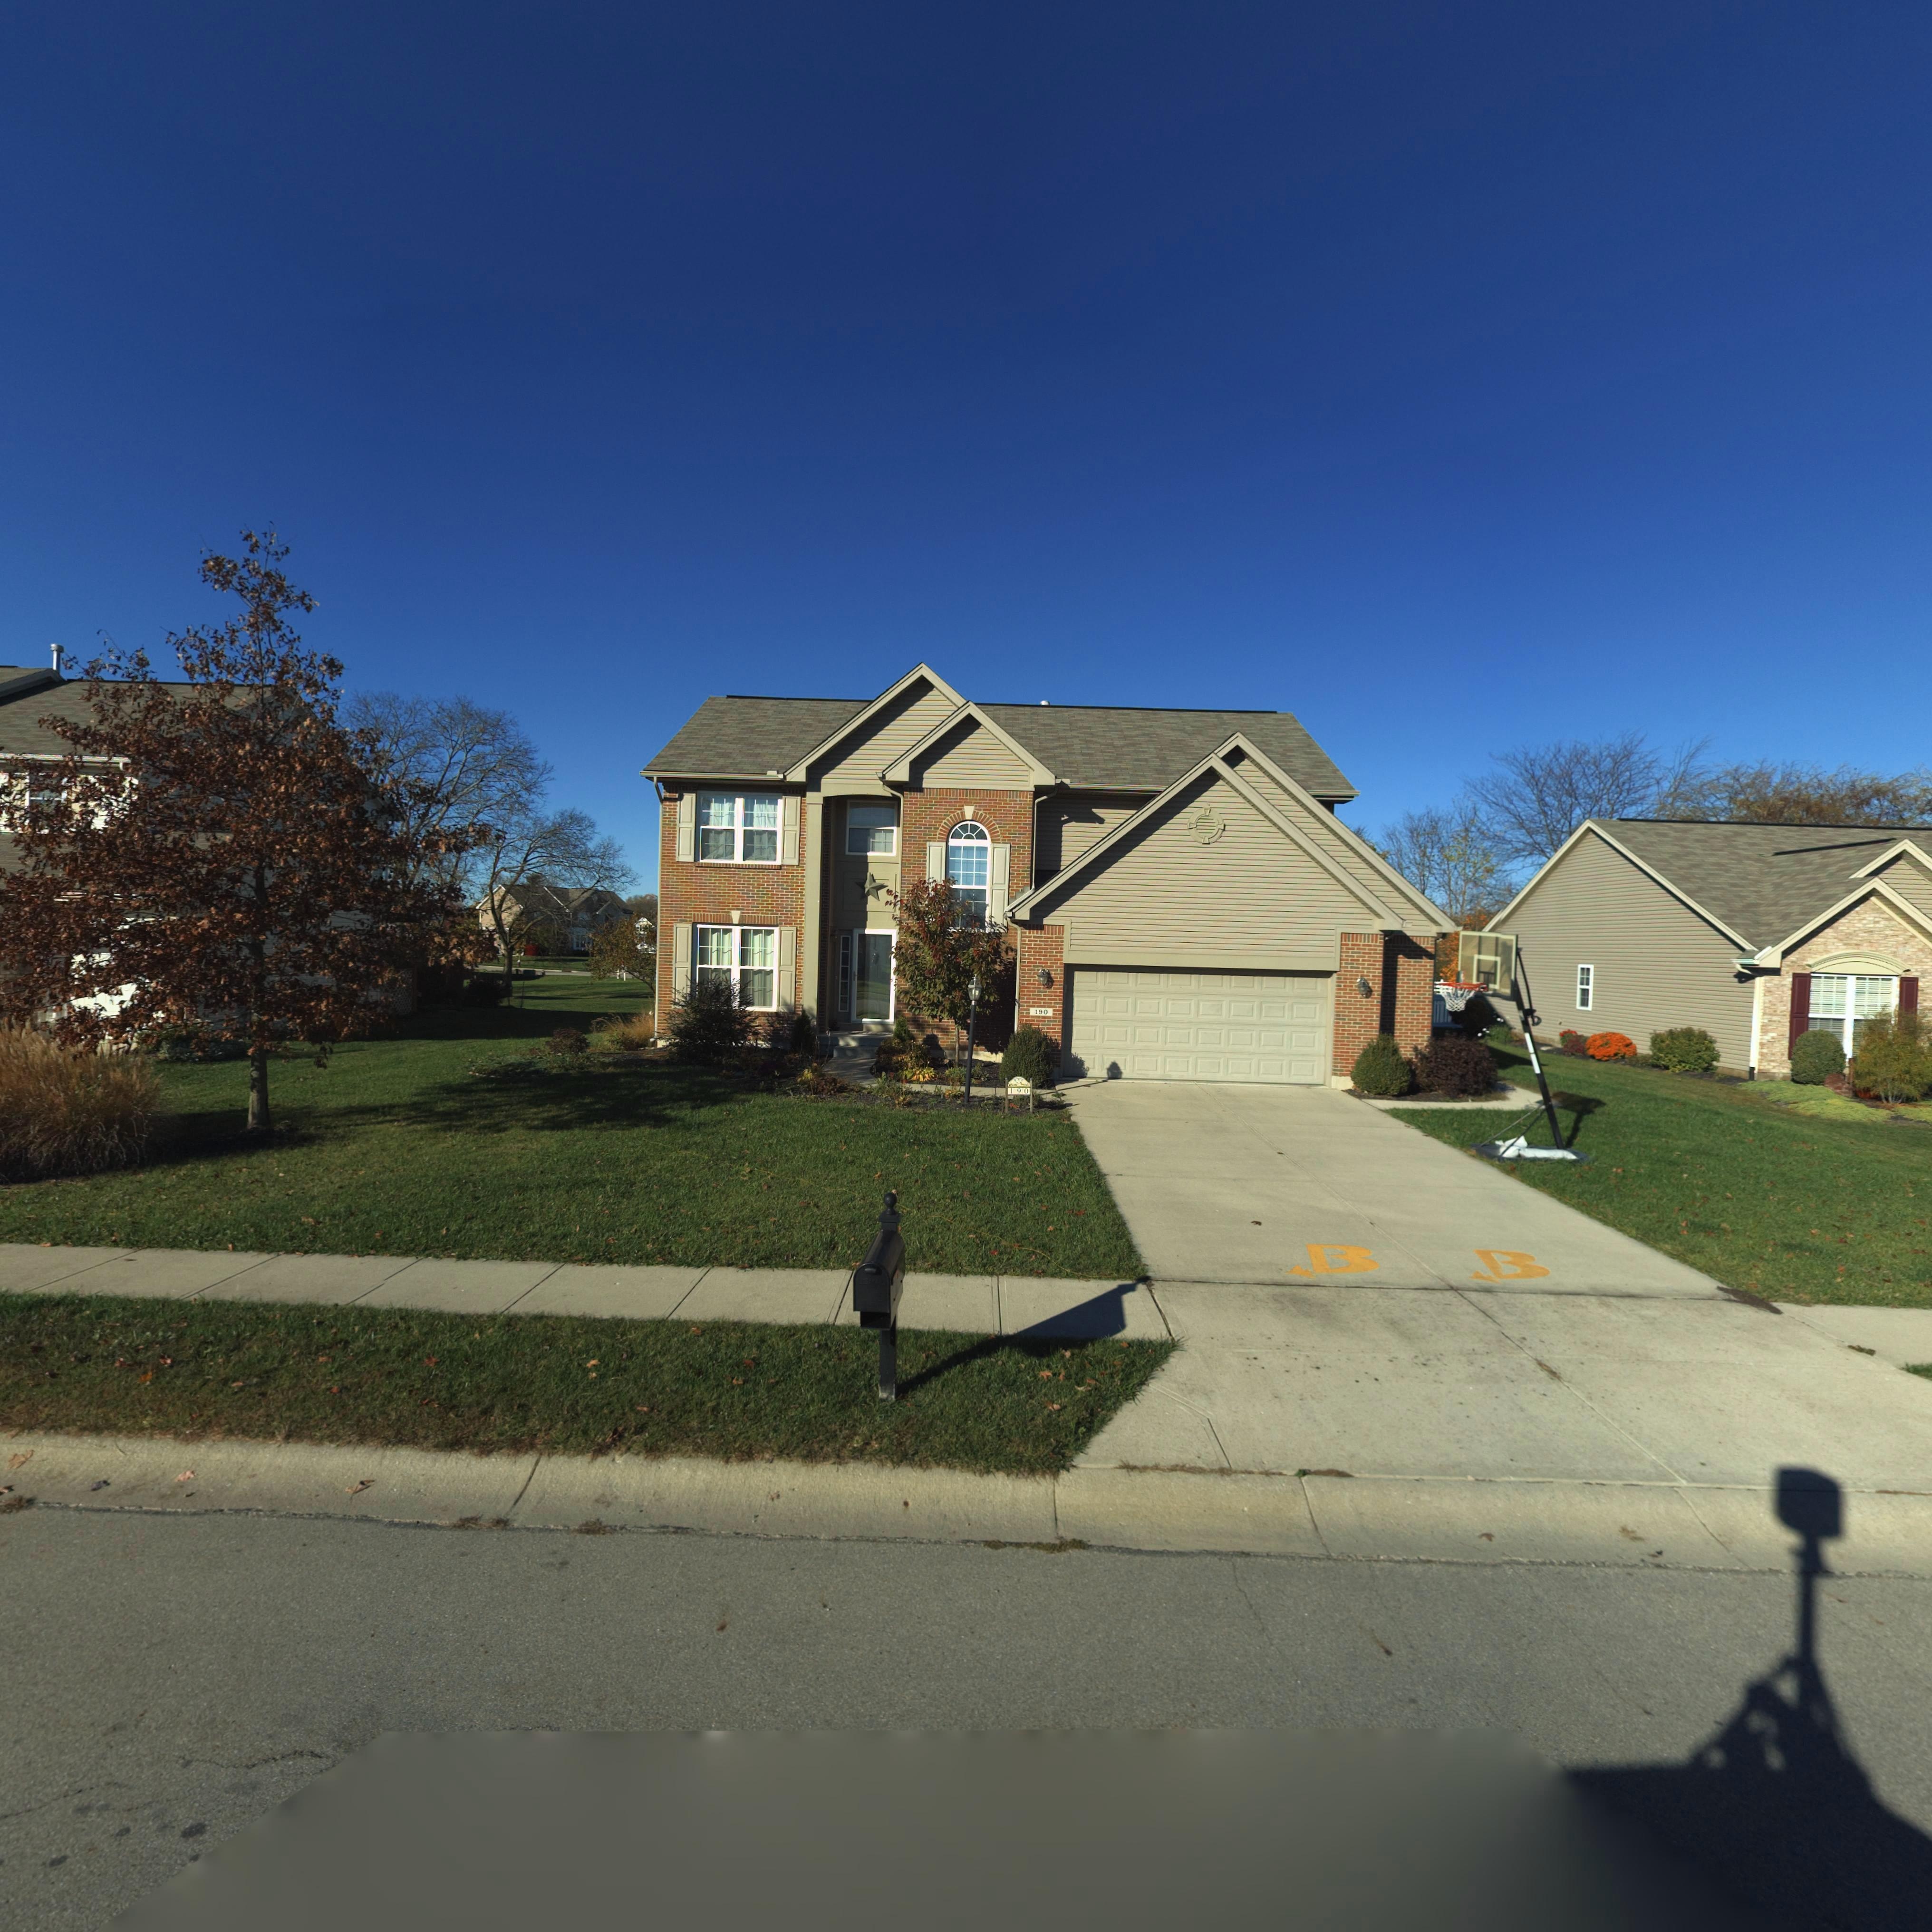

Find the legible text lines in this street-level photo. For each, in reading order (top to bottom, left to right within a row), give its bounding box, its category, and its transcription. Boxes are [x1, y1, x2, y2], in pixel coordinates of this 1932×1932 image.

[1034, 1008, 1049, 1015] StreetNumber: 190
[1009, 1086, 1029, 1095] StreetNumber: 190